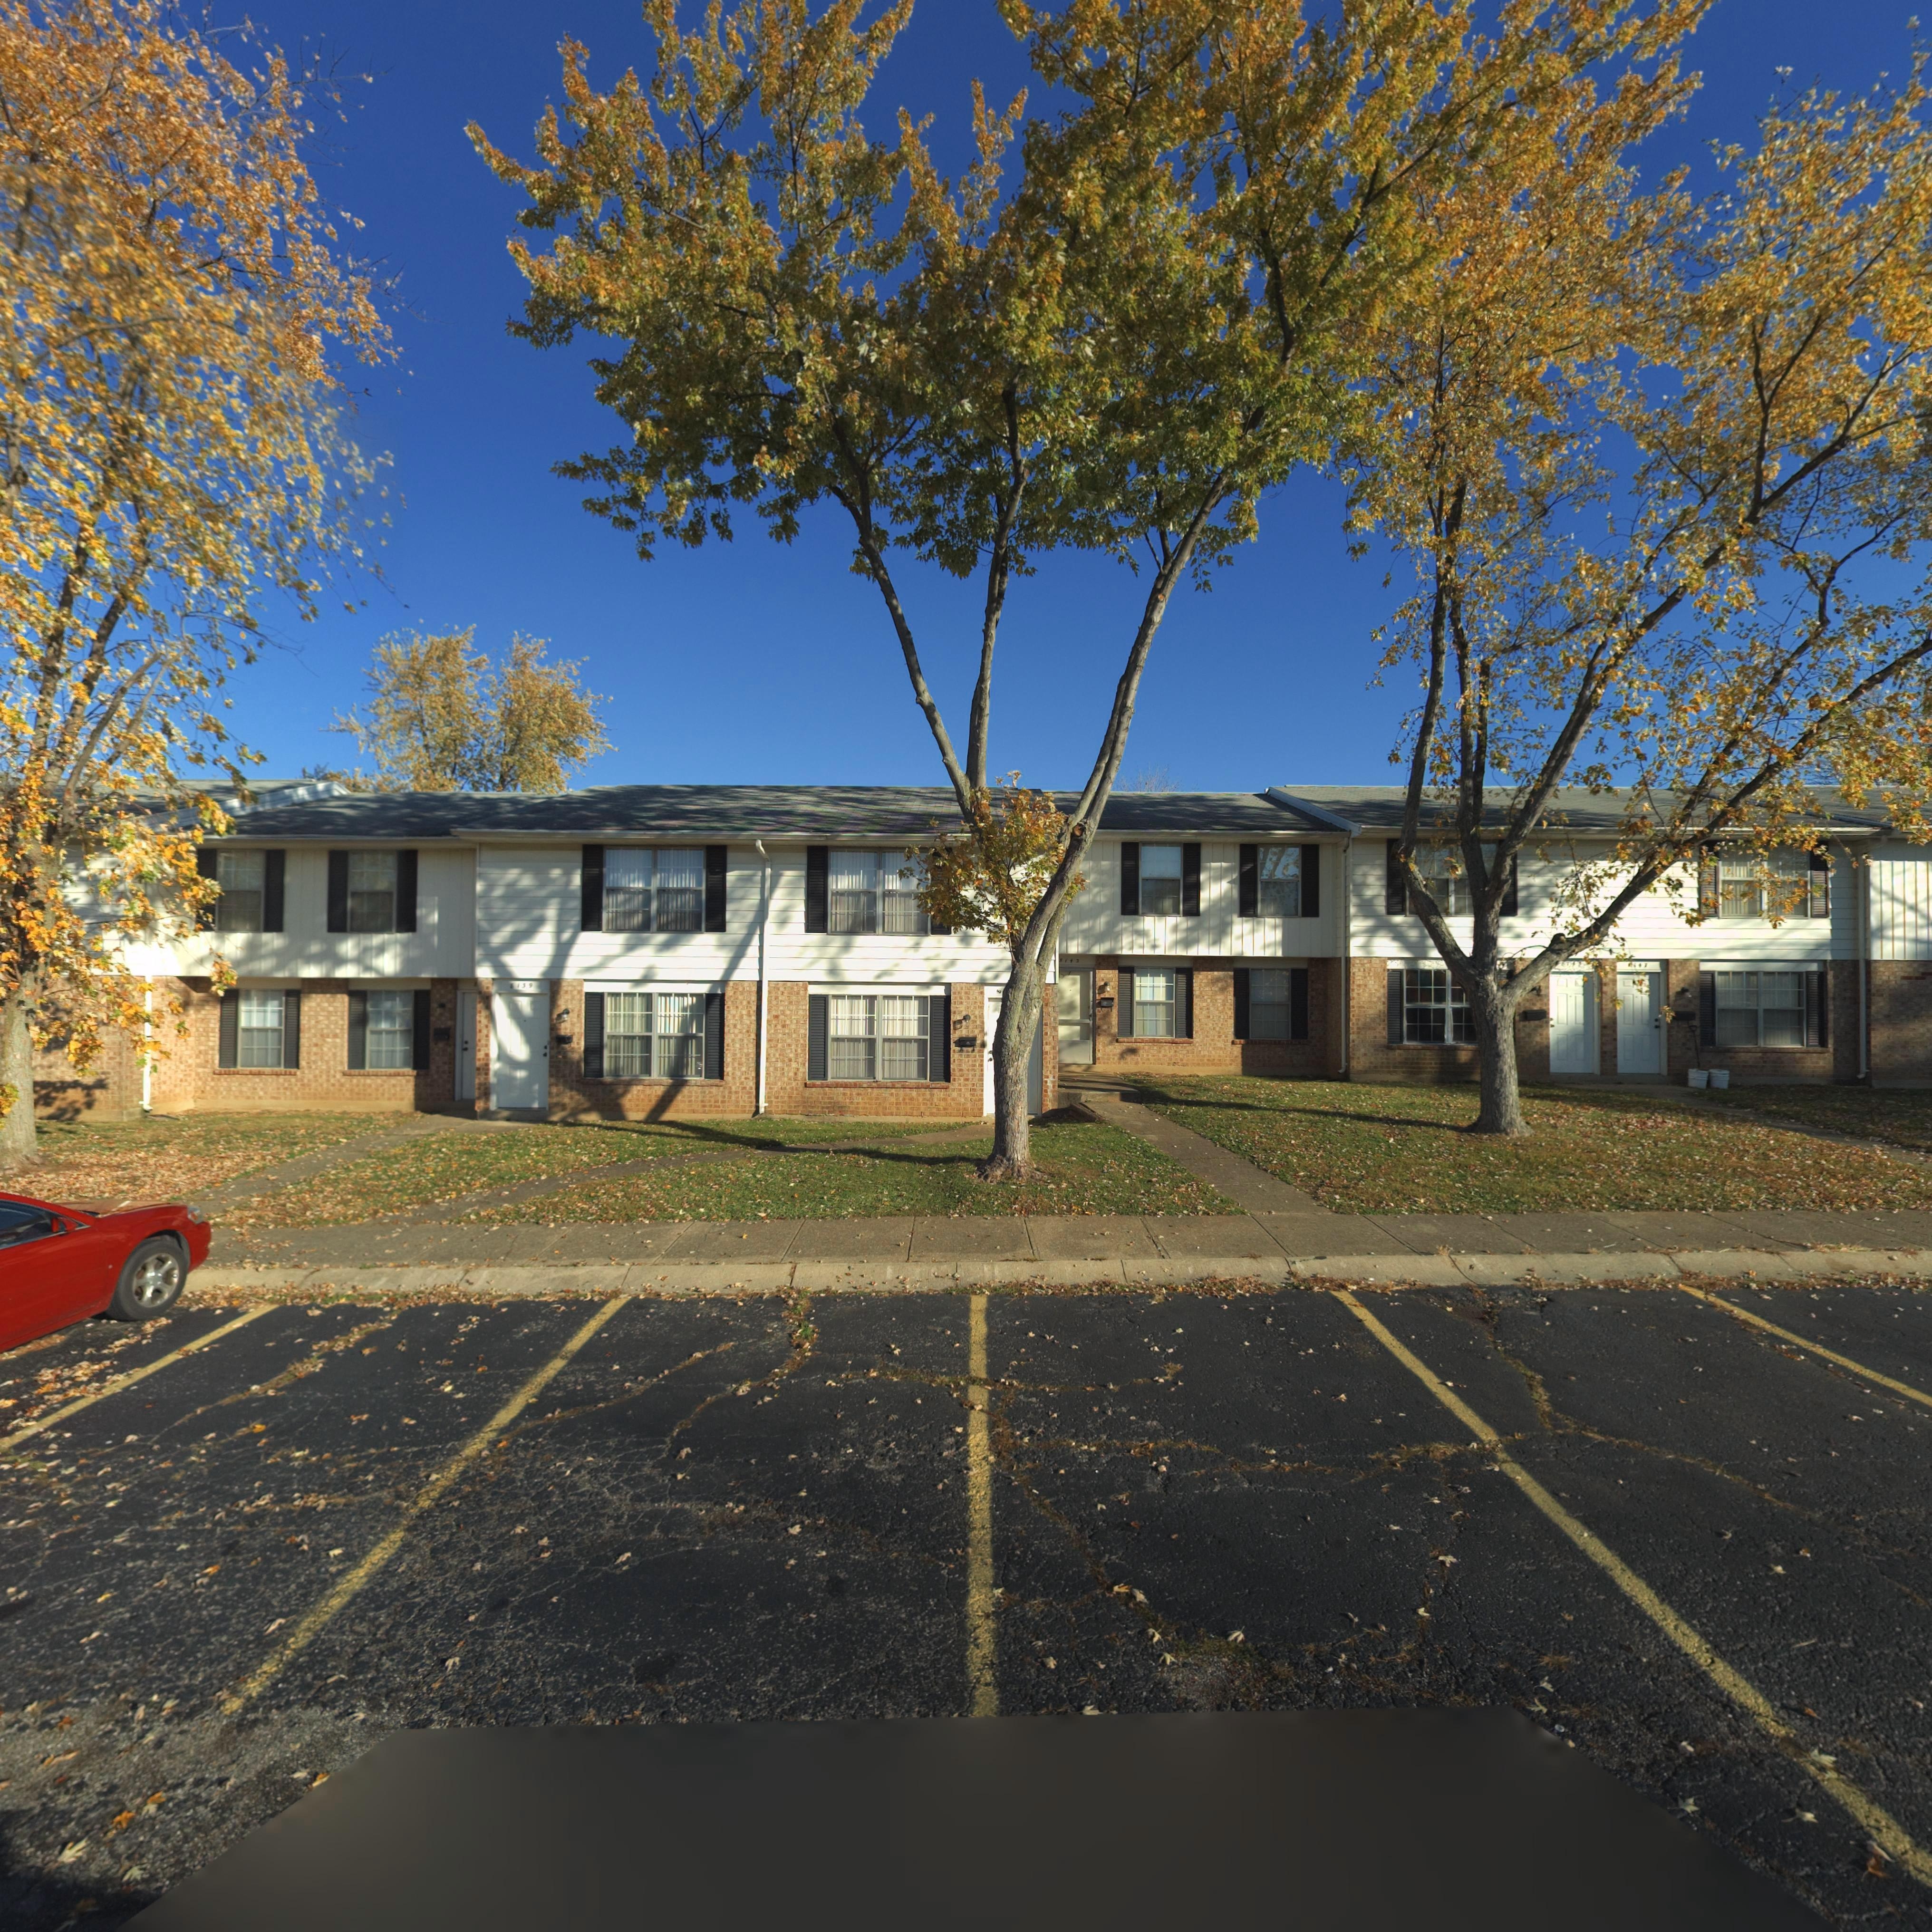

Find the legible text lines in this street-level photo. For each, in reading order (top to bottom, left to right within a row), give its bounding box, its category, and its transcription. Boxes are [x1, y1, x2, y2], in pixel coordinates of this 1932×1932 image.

[1059, 957, 1080, 964] StreetNumber: 8143
[509, 981, 534, 990] StreetNumber: 8139
[995, 988, 1003, 995] StreetNumber: 8